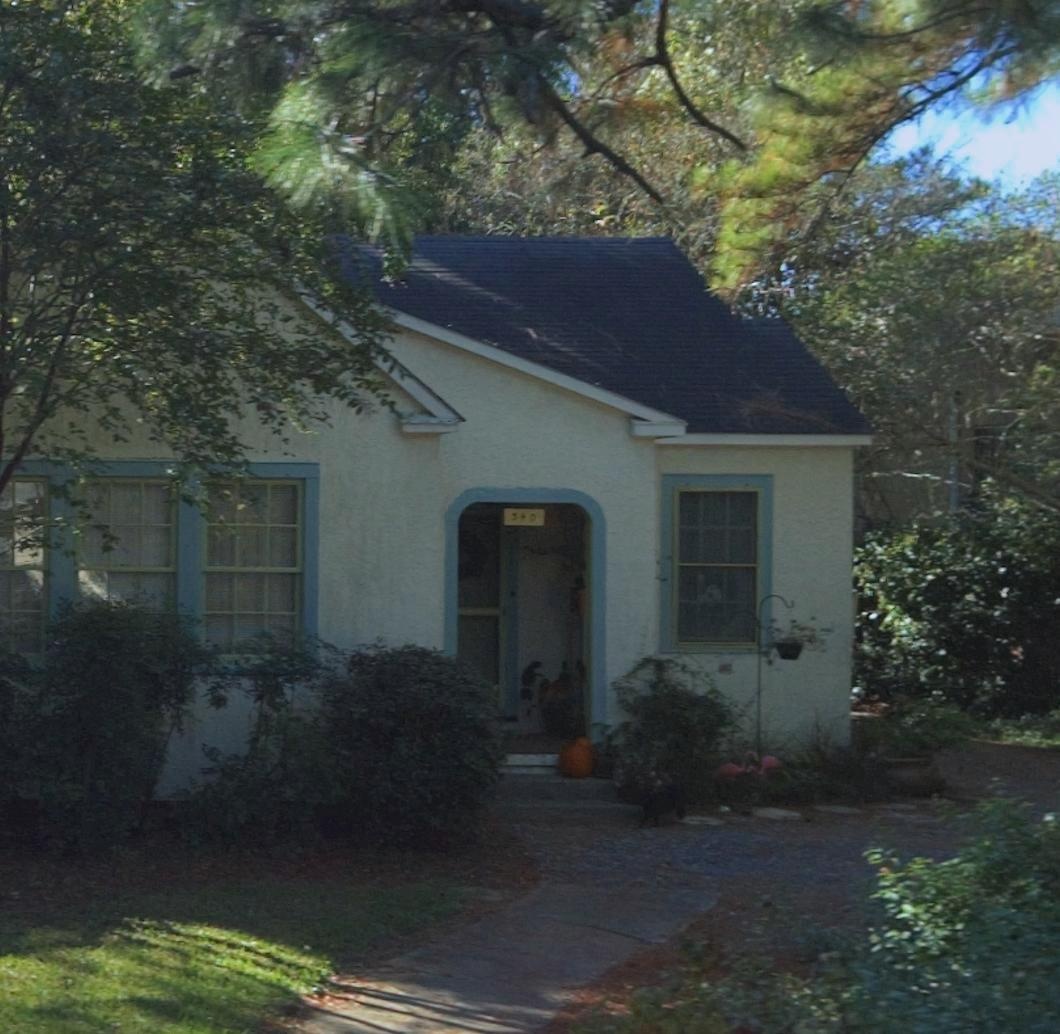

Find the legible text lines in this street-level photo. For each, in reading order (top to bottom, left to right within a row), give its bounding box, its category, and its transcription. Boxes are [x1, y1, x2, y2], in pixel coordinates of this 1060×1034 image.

[508, 509, 540, 525] StreetNumber: 340